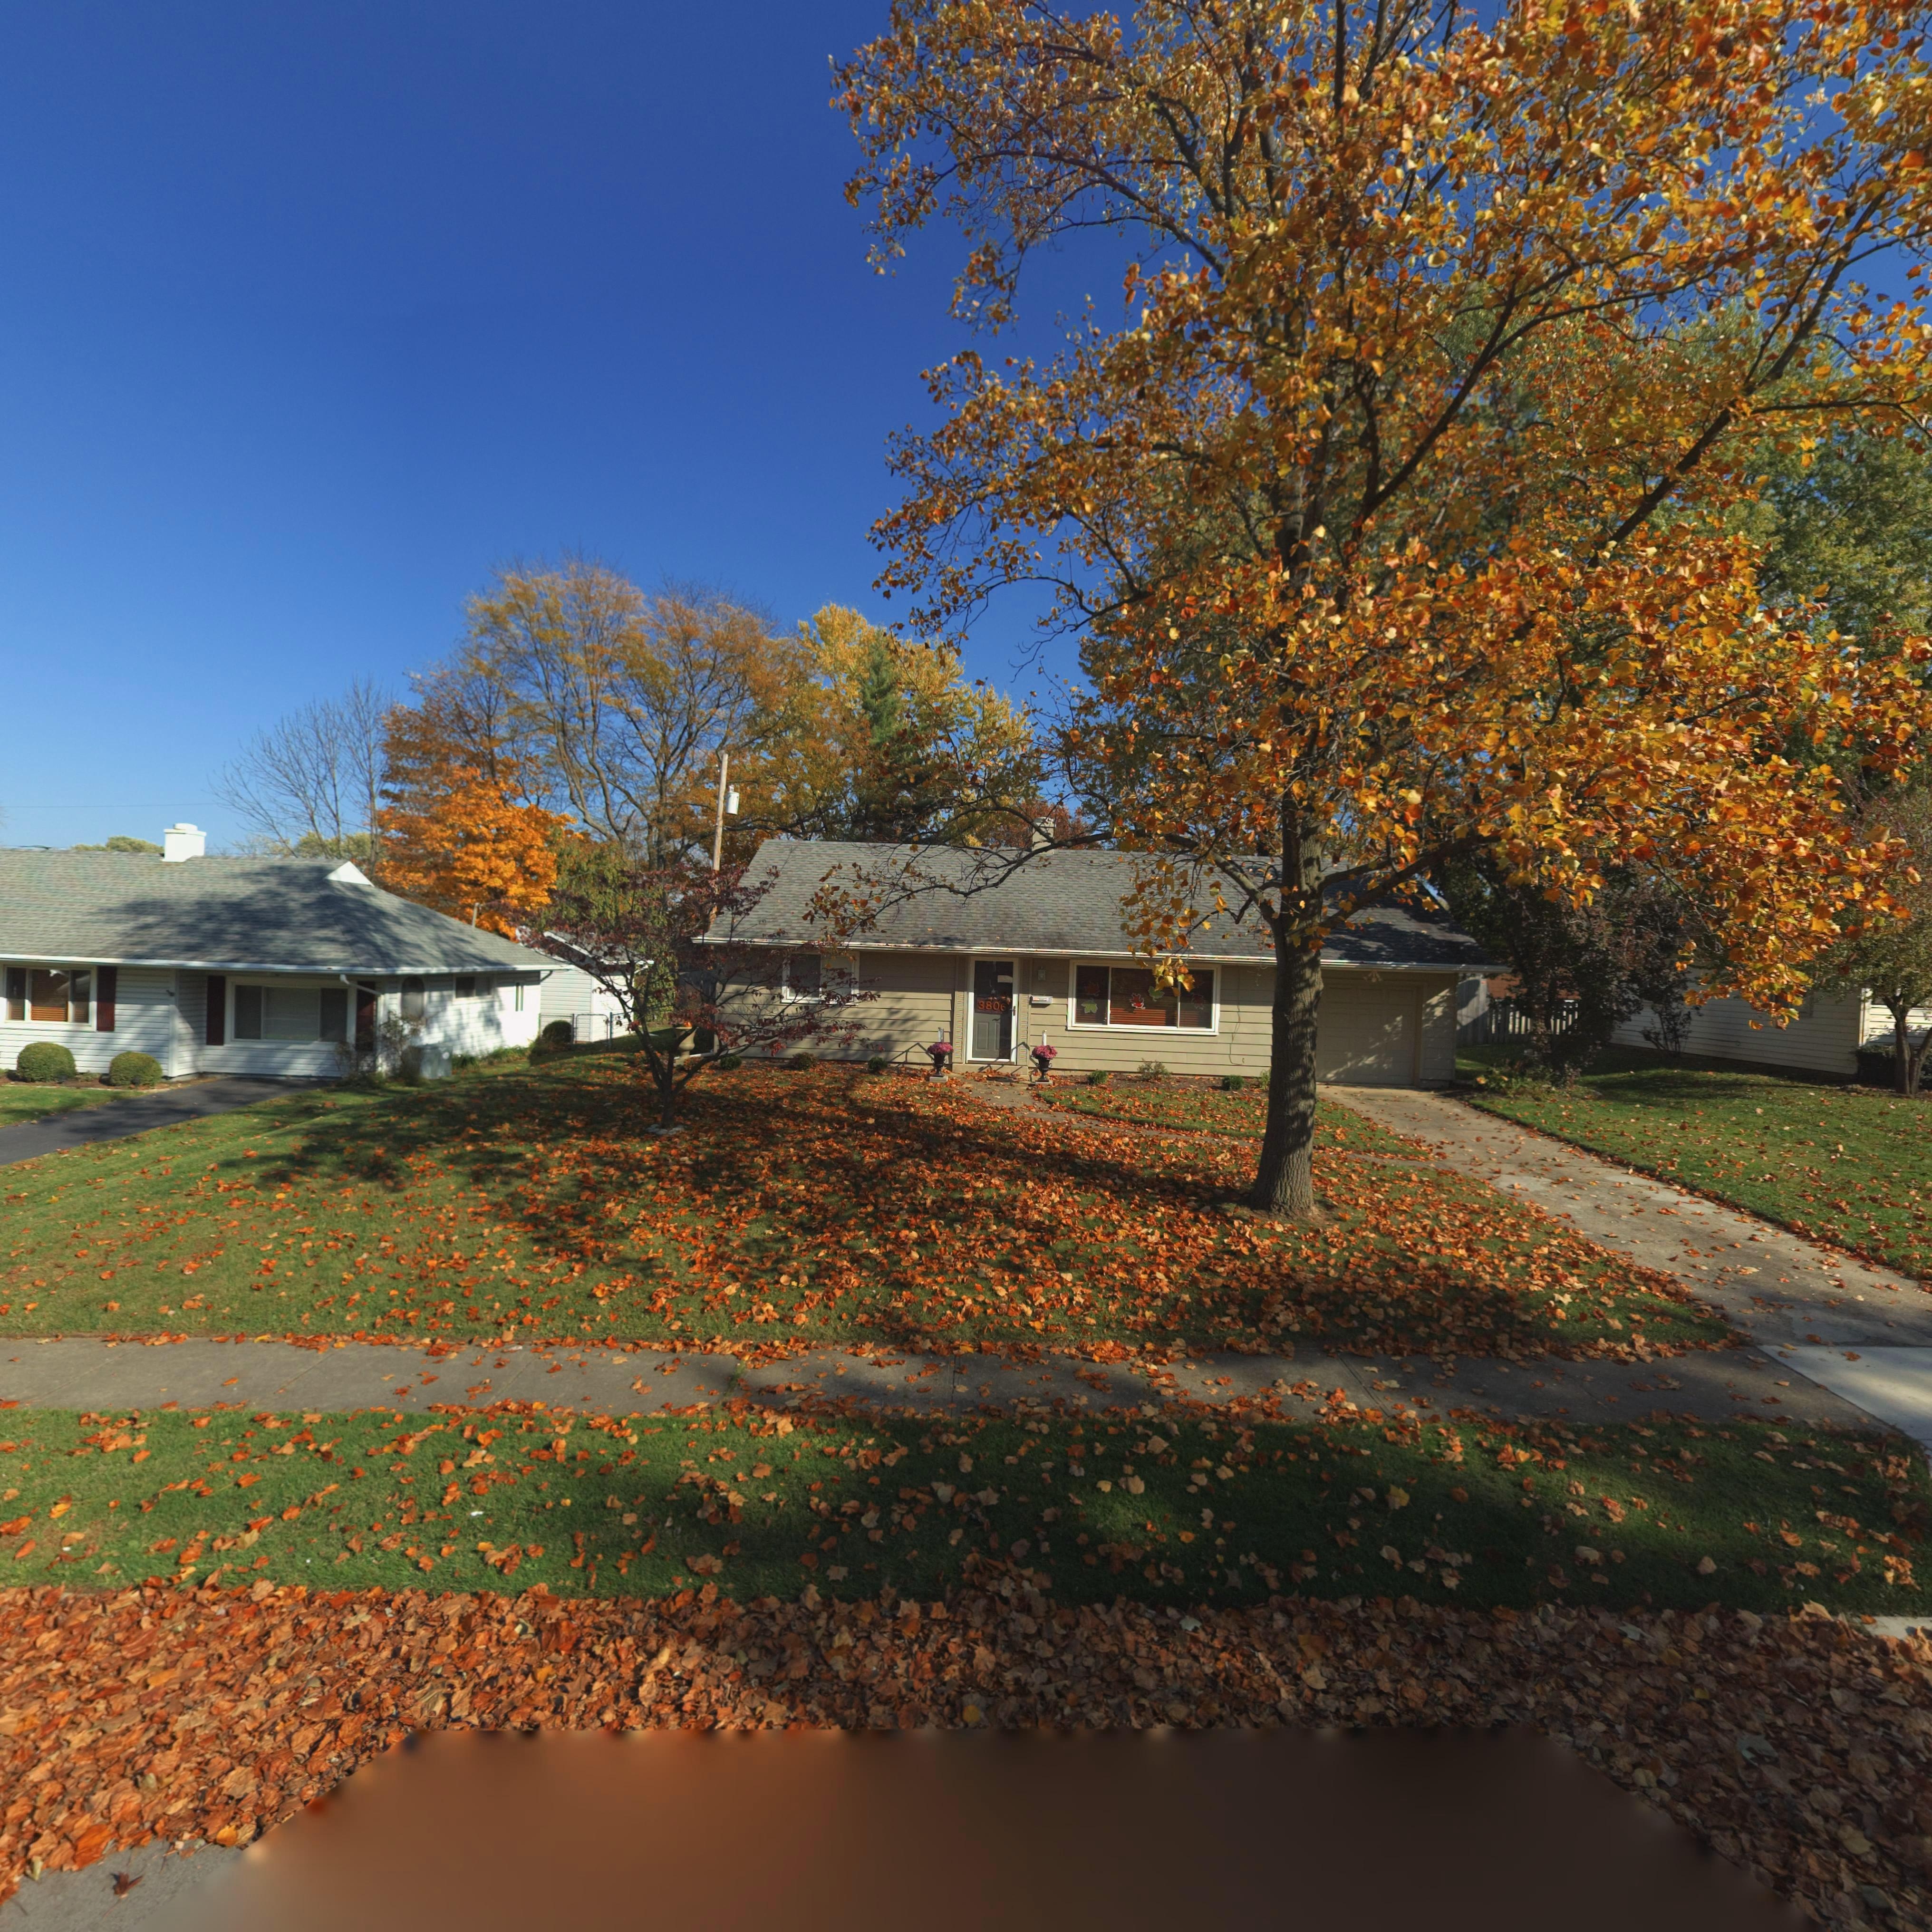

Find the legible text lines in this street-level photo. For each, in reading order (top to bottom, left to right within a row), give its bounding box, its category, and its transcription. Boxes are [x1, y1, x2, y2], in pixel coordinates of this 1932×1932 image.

[978, 999, 1007, 1012] StreetNumber: 3806